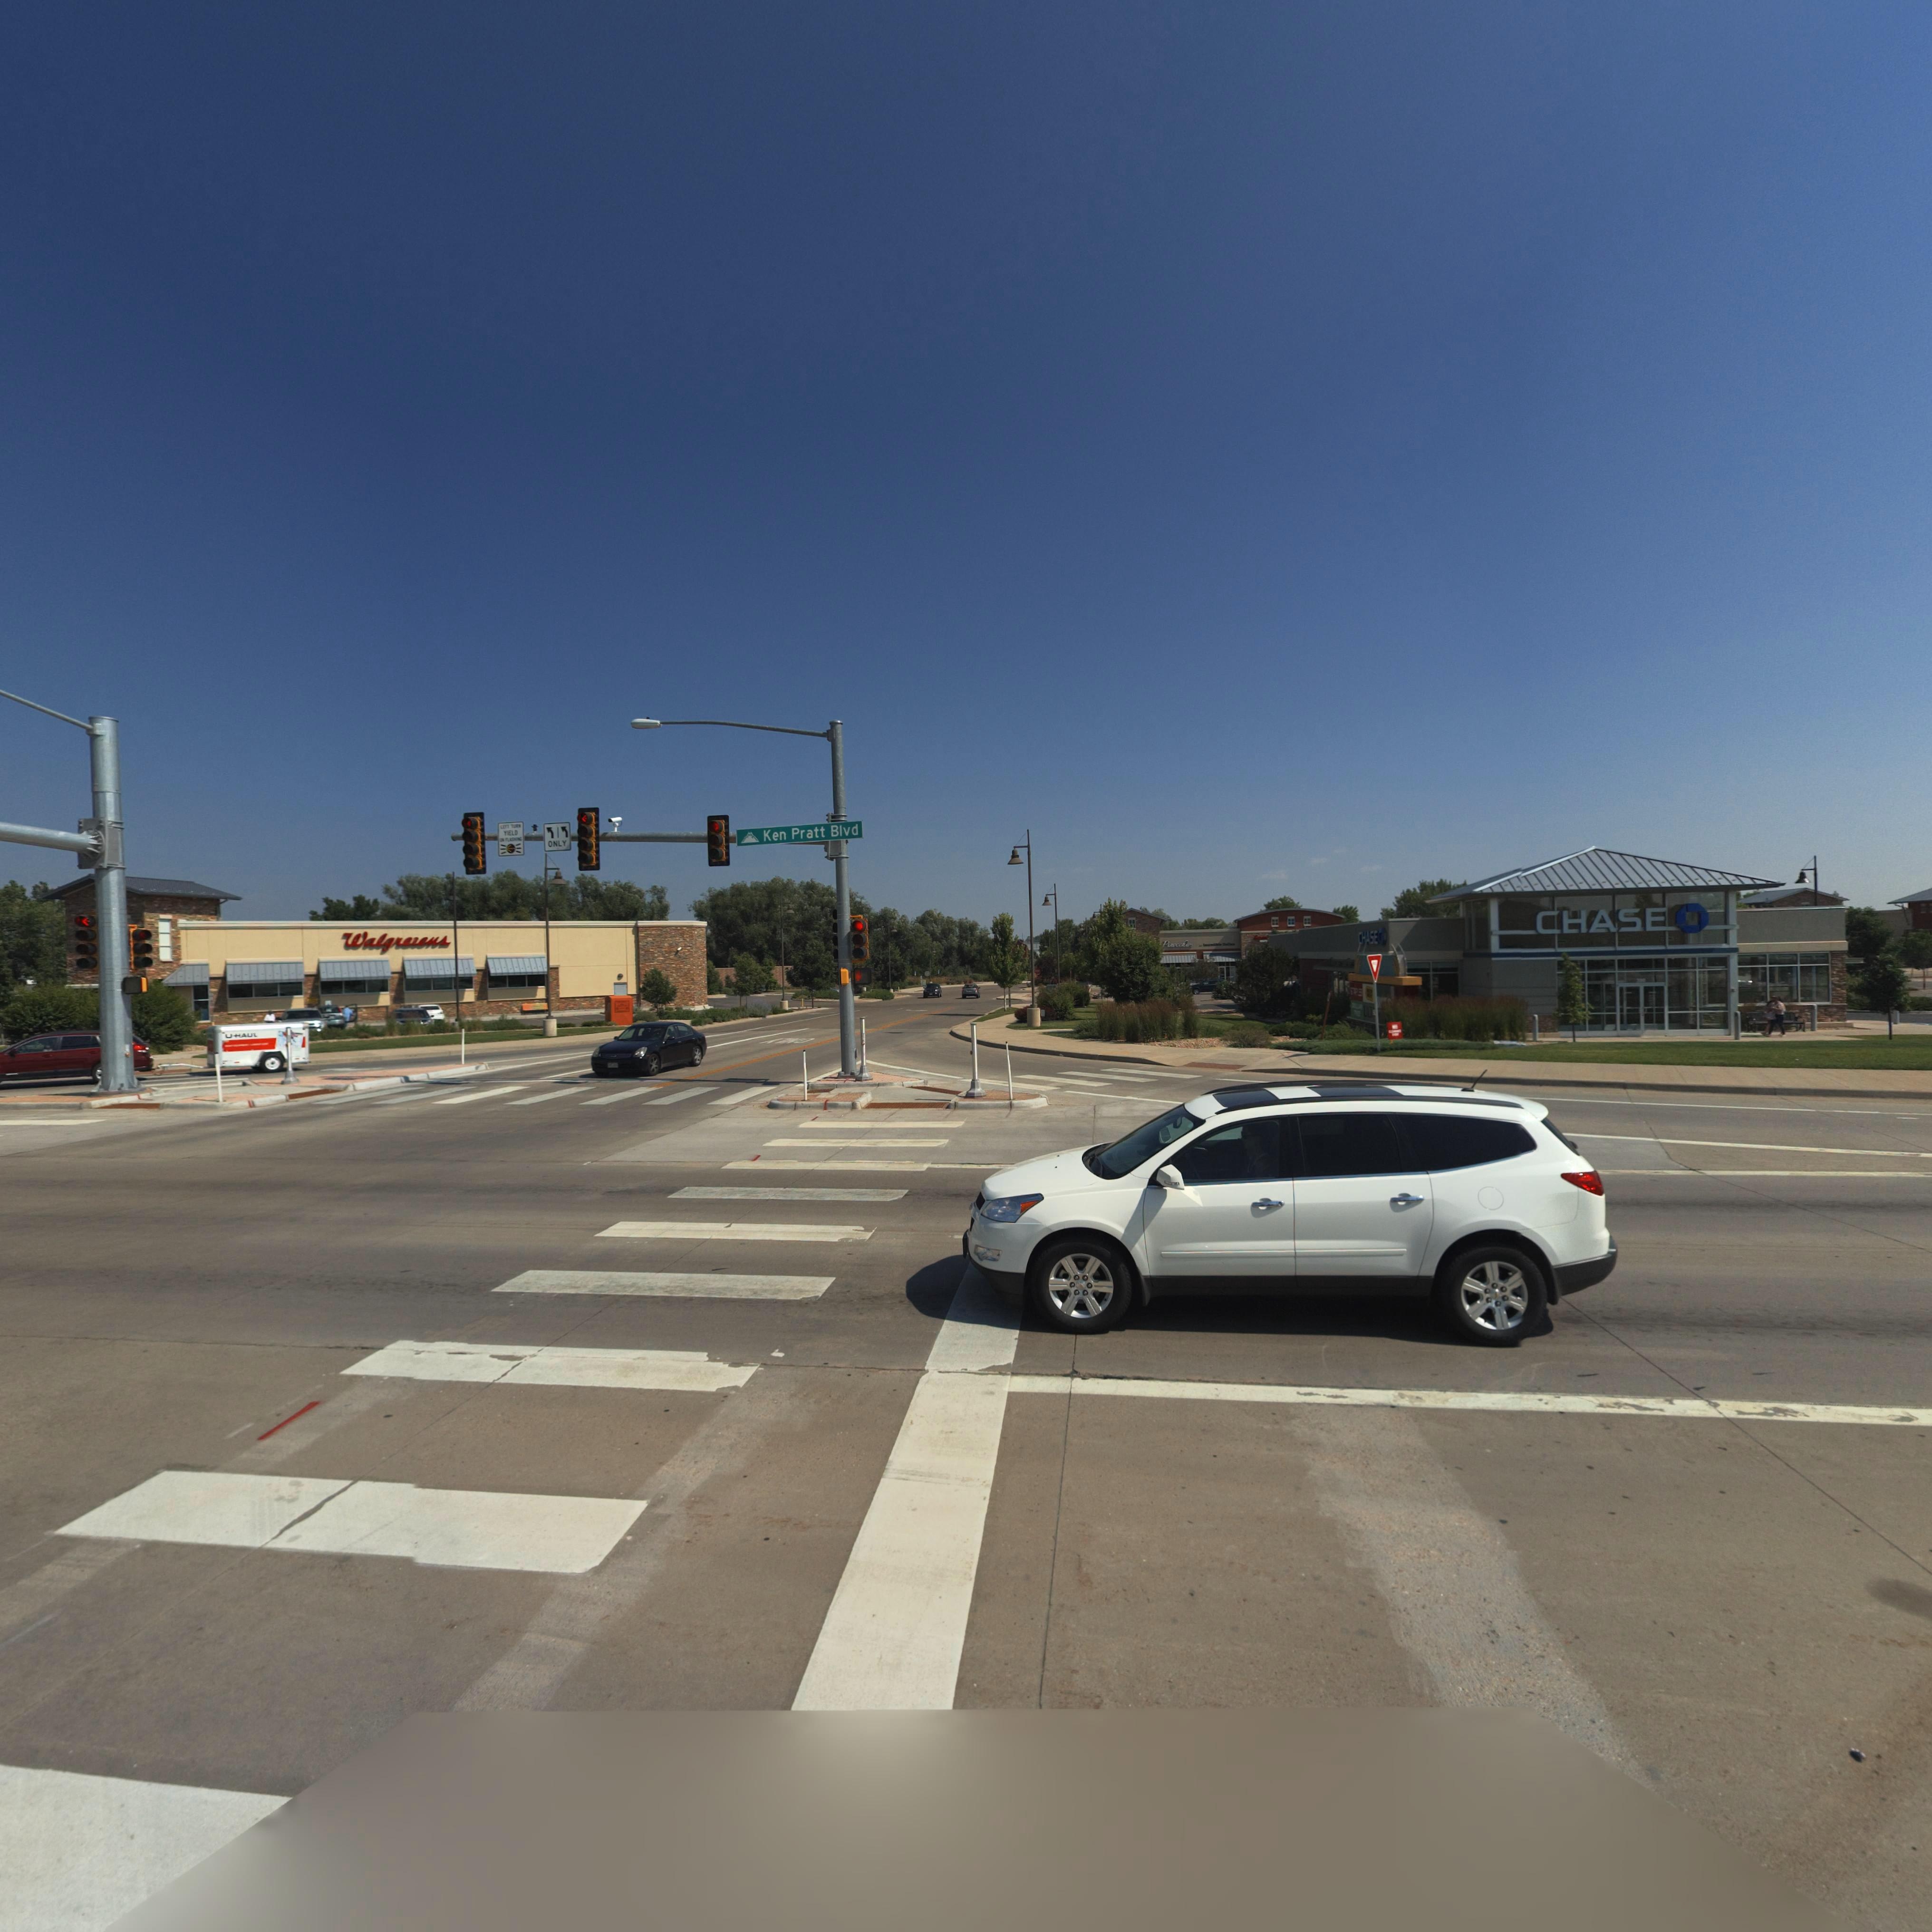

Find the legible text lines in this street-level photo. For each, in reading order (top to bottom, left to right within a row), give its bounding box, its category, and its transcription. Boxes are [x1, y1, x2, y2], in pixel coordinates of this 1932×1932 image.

[763, 823, 859, 842] StreetName: Ken Pratt Blvd
[1536, 907, 1667, 934] BusinessName: CHASE
[342, 930, 452, 952] BusinessName: Walgreens
[1162, 940, 1193, 947] BusinessName: Pinocchios
[1254, 934, 1268, 940] BusinessName: S****
[1358, 930, 1378, 945] BusinessName: CHASE
[1635, 978, 1645, 982] StreetNumber: 300